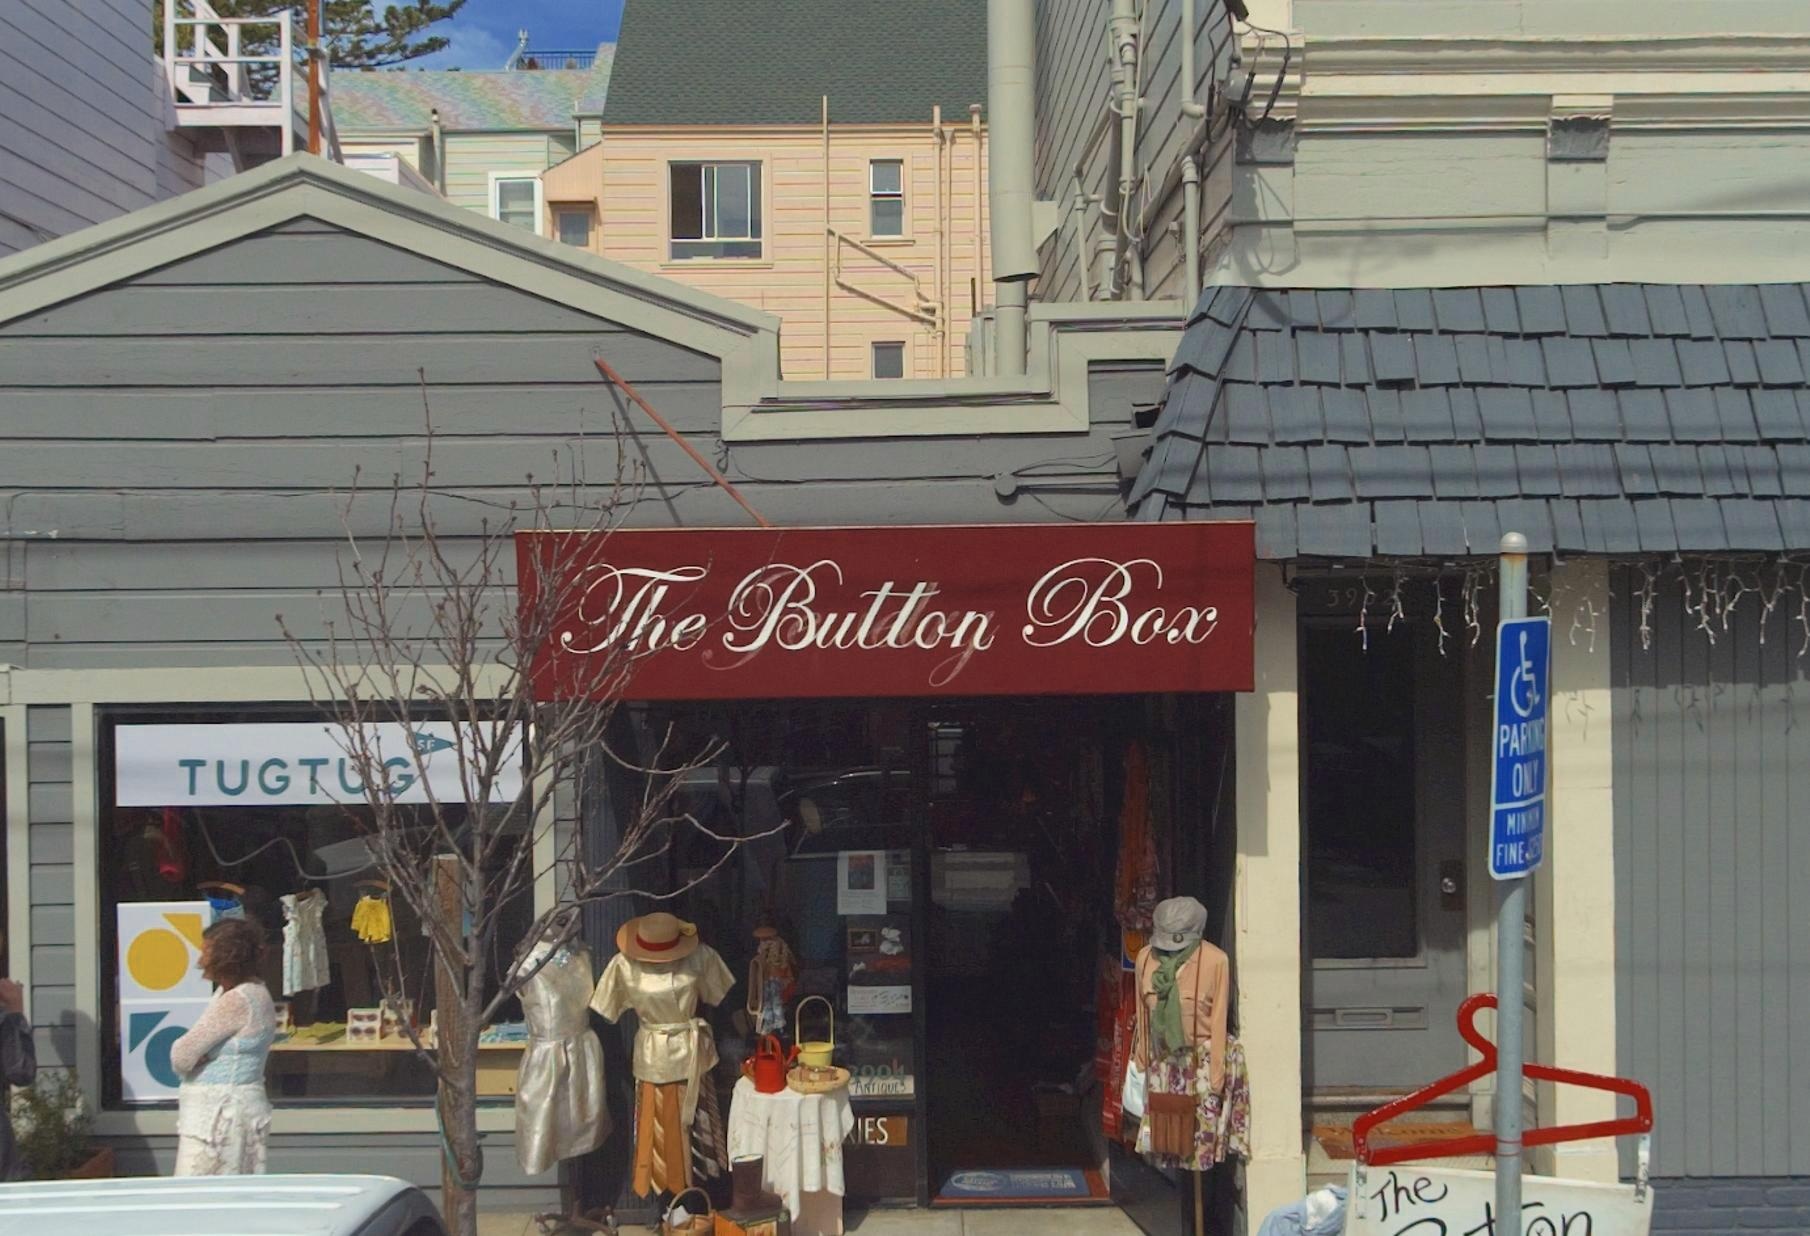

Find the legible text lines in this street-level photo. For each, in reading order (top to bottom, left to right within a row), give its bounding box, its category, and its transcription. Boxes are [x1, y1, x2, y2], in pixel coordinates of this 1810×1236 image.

[558, 556, 1219, 656] BusinessName: The Button Box
[1326, 587, 1396, 610] StreetNumber: 39*2
[416, 738, 436, 752] None: SF
[1499, 721, 1528, 759] None: PAR
[178, 756, 415, 796] BusinessName: TUGT*G
[1511, 757, 1540, 799] None: O*LY
[1507, 811, 1521, 837] None: MI
[1495, 840, 1526, 867] None: FINE
[846, 1056, 909, 1088] StreetNumber: 3904
[853, 1081, 908, 1094] None: ANTIQUE*
[856, 1117, 889, 1146] None: IES
[1365, 1168, 1450, 1223] None: The